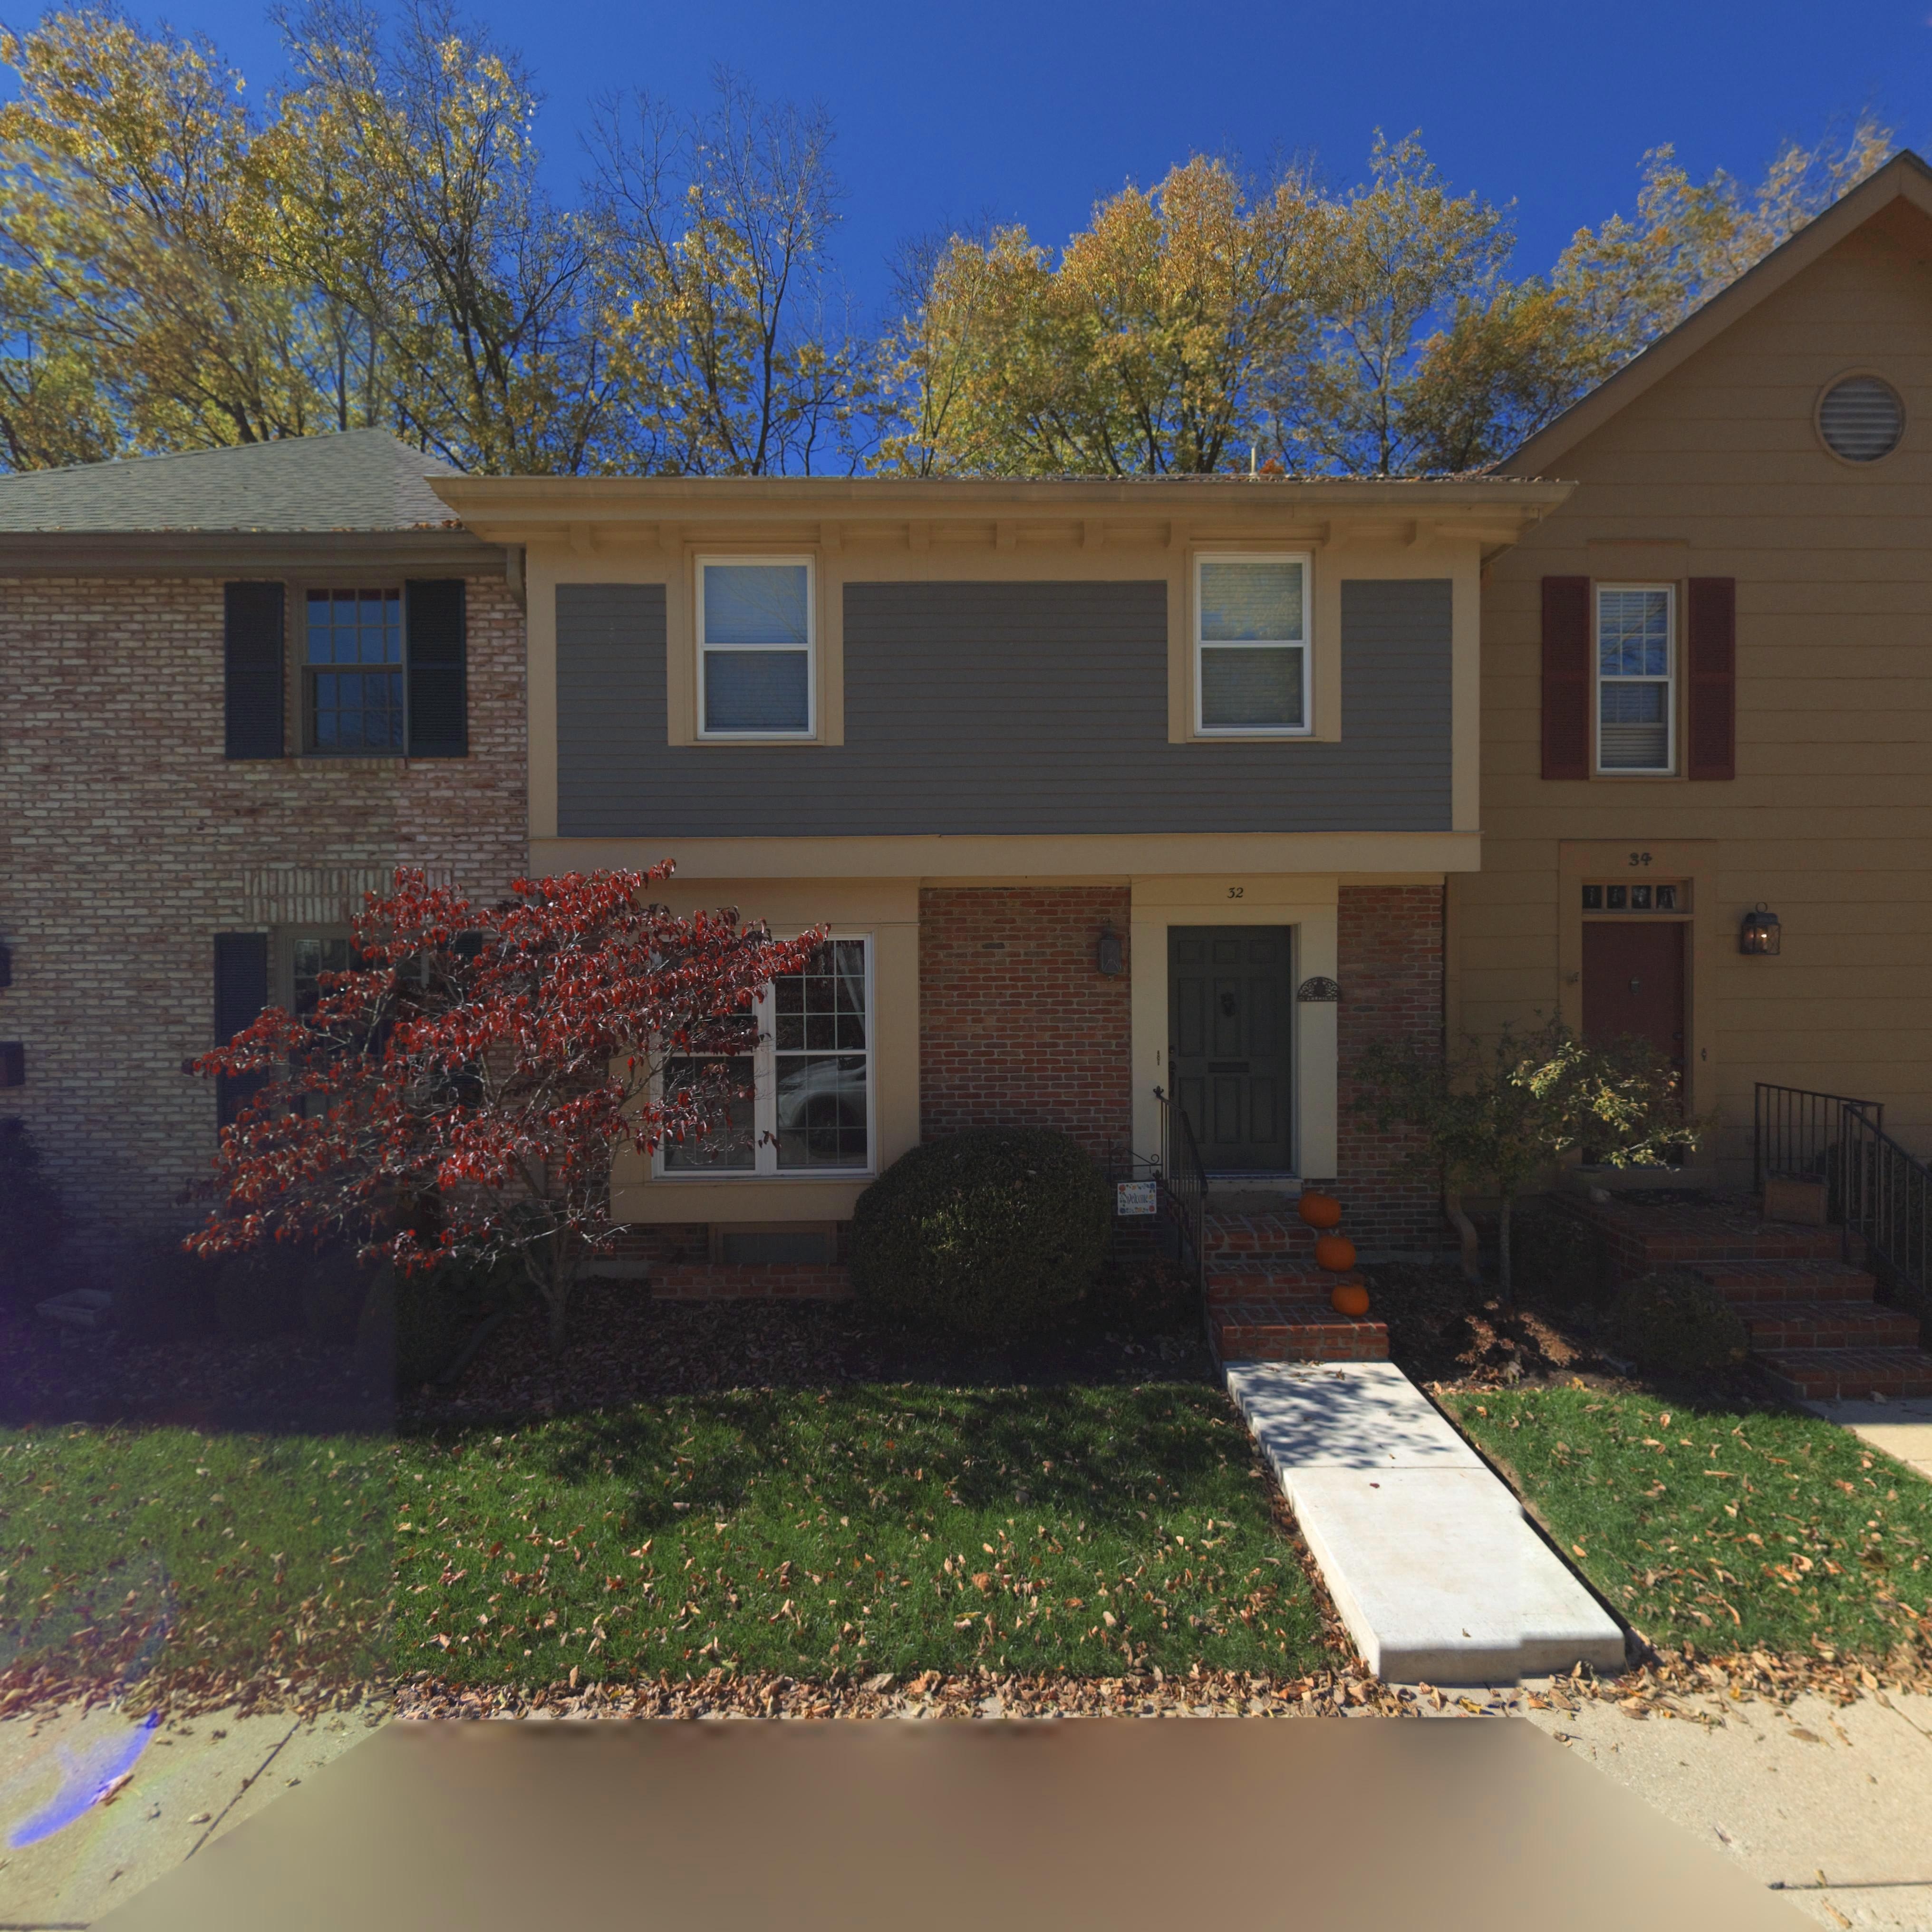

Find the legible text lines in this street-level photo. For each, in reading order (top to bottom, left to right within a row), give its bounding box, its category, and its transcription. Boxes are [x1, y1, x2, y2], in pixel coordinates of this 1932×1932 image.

[1628, 851, 1653, 866] StreetNumber: 34
[1227, 887, 1244, 899] StreetNumber: 32
[1123, 1193, 1150, 1204] None: Welcome